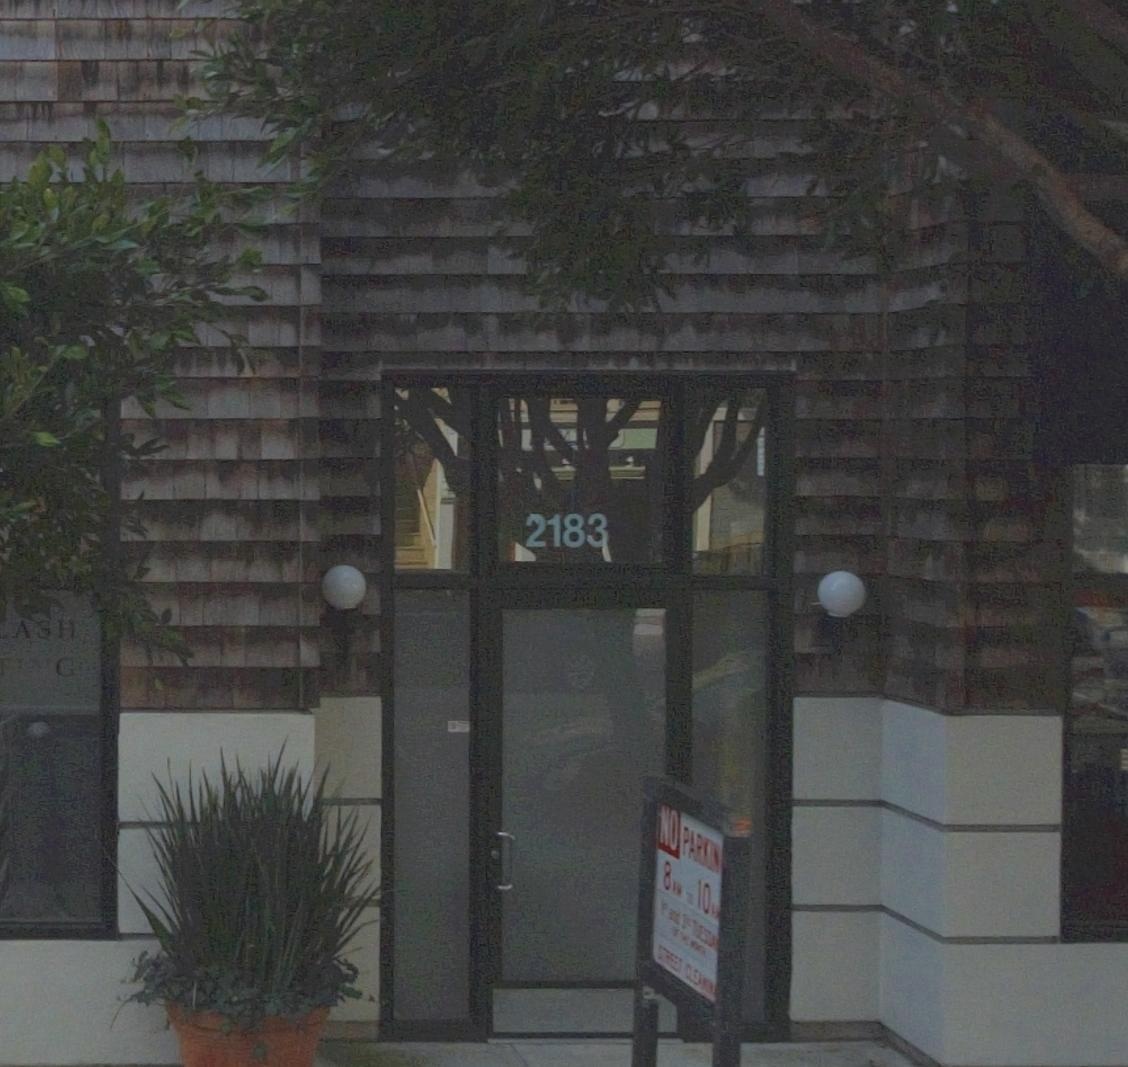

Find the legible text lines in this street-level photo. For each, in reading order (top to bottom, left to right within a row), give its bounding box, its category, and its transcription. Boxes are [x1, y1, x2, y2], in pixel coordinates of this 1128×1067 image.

[522, 511, 611, 550] StreetNumber: 2183
[10, 618, 77, 641] None: ASH
[657, 798, 724, 880] None: NO PARKIN
[661, 854, 674, 897] None: 8
[694, 874, 713, 919] None: 10